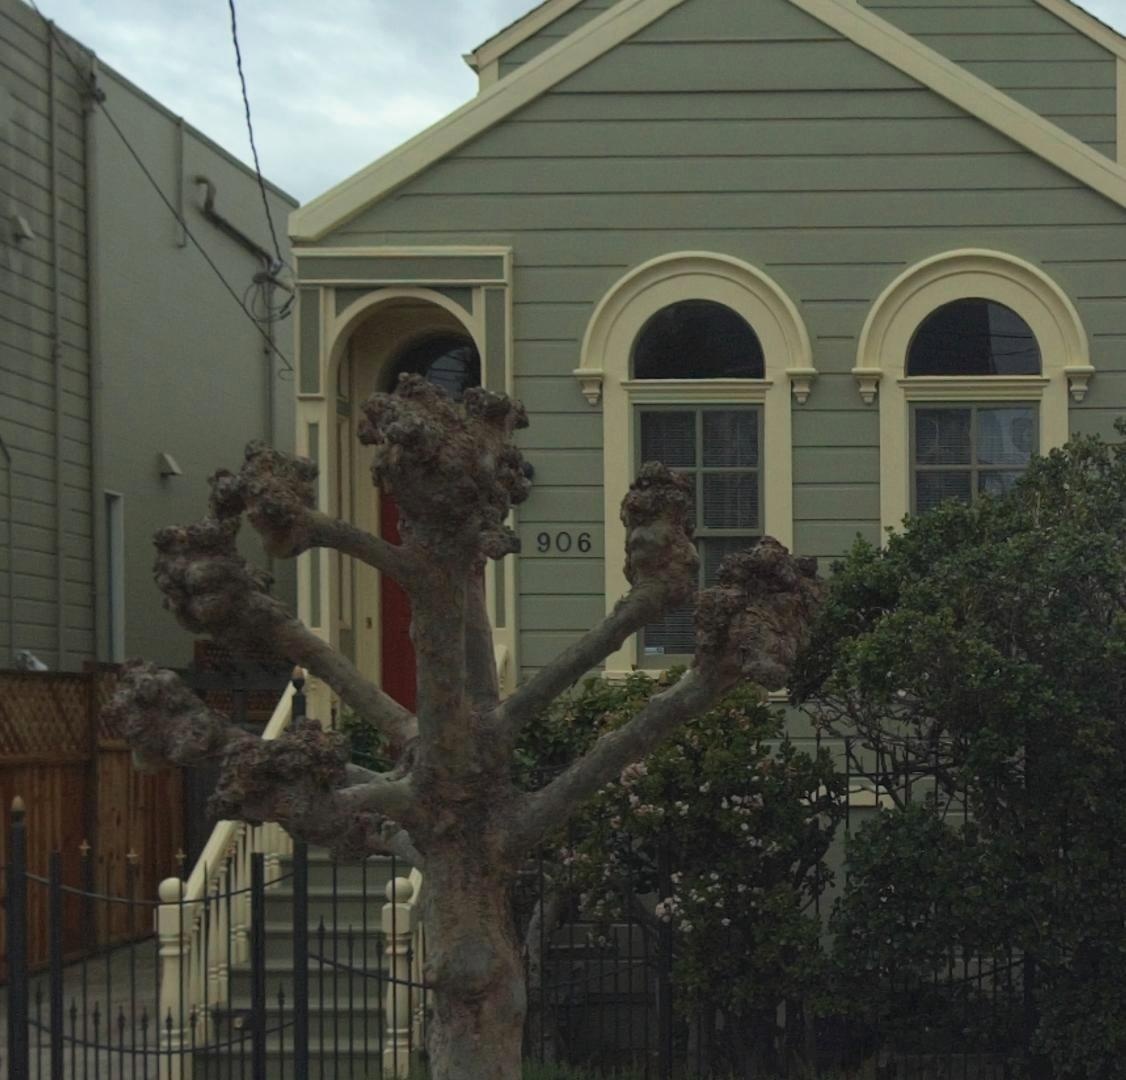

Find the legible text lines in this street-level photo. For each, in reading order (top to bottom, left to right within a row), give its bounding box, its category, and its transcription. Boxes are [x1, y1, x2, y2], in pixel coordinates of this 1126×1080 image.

[536, 530, 592, 554] StreetNumber: 906